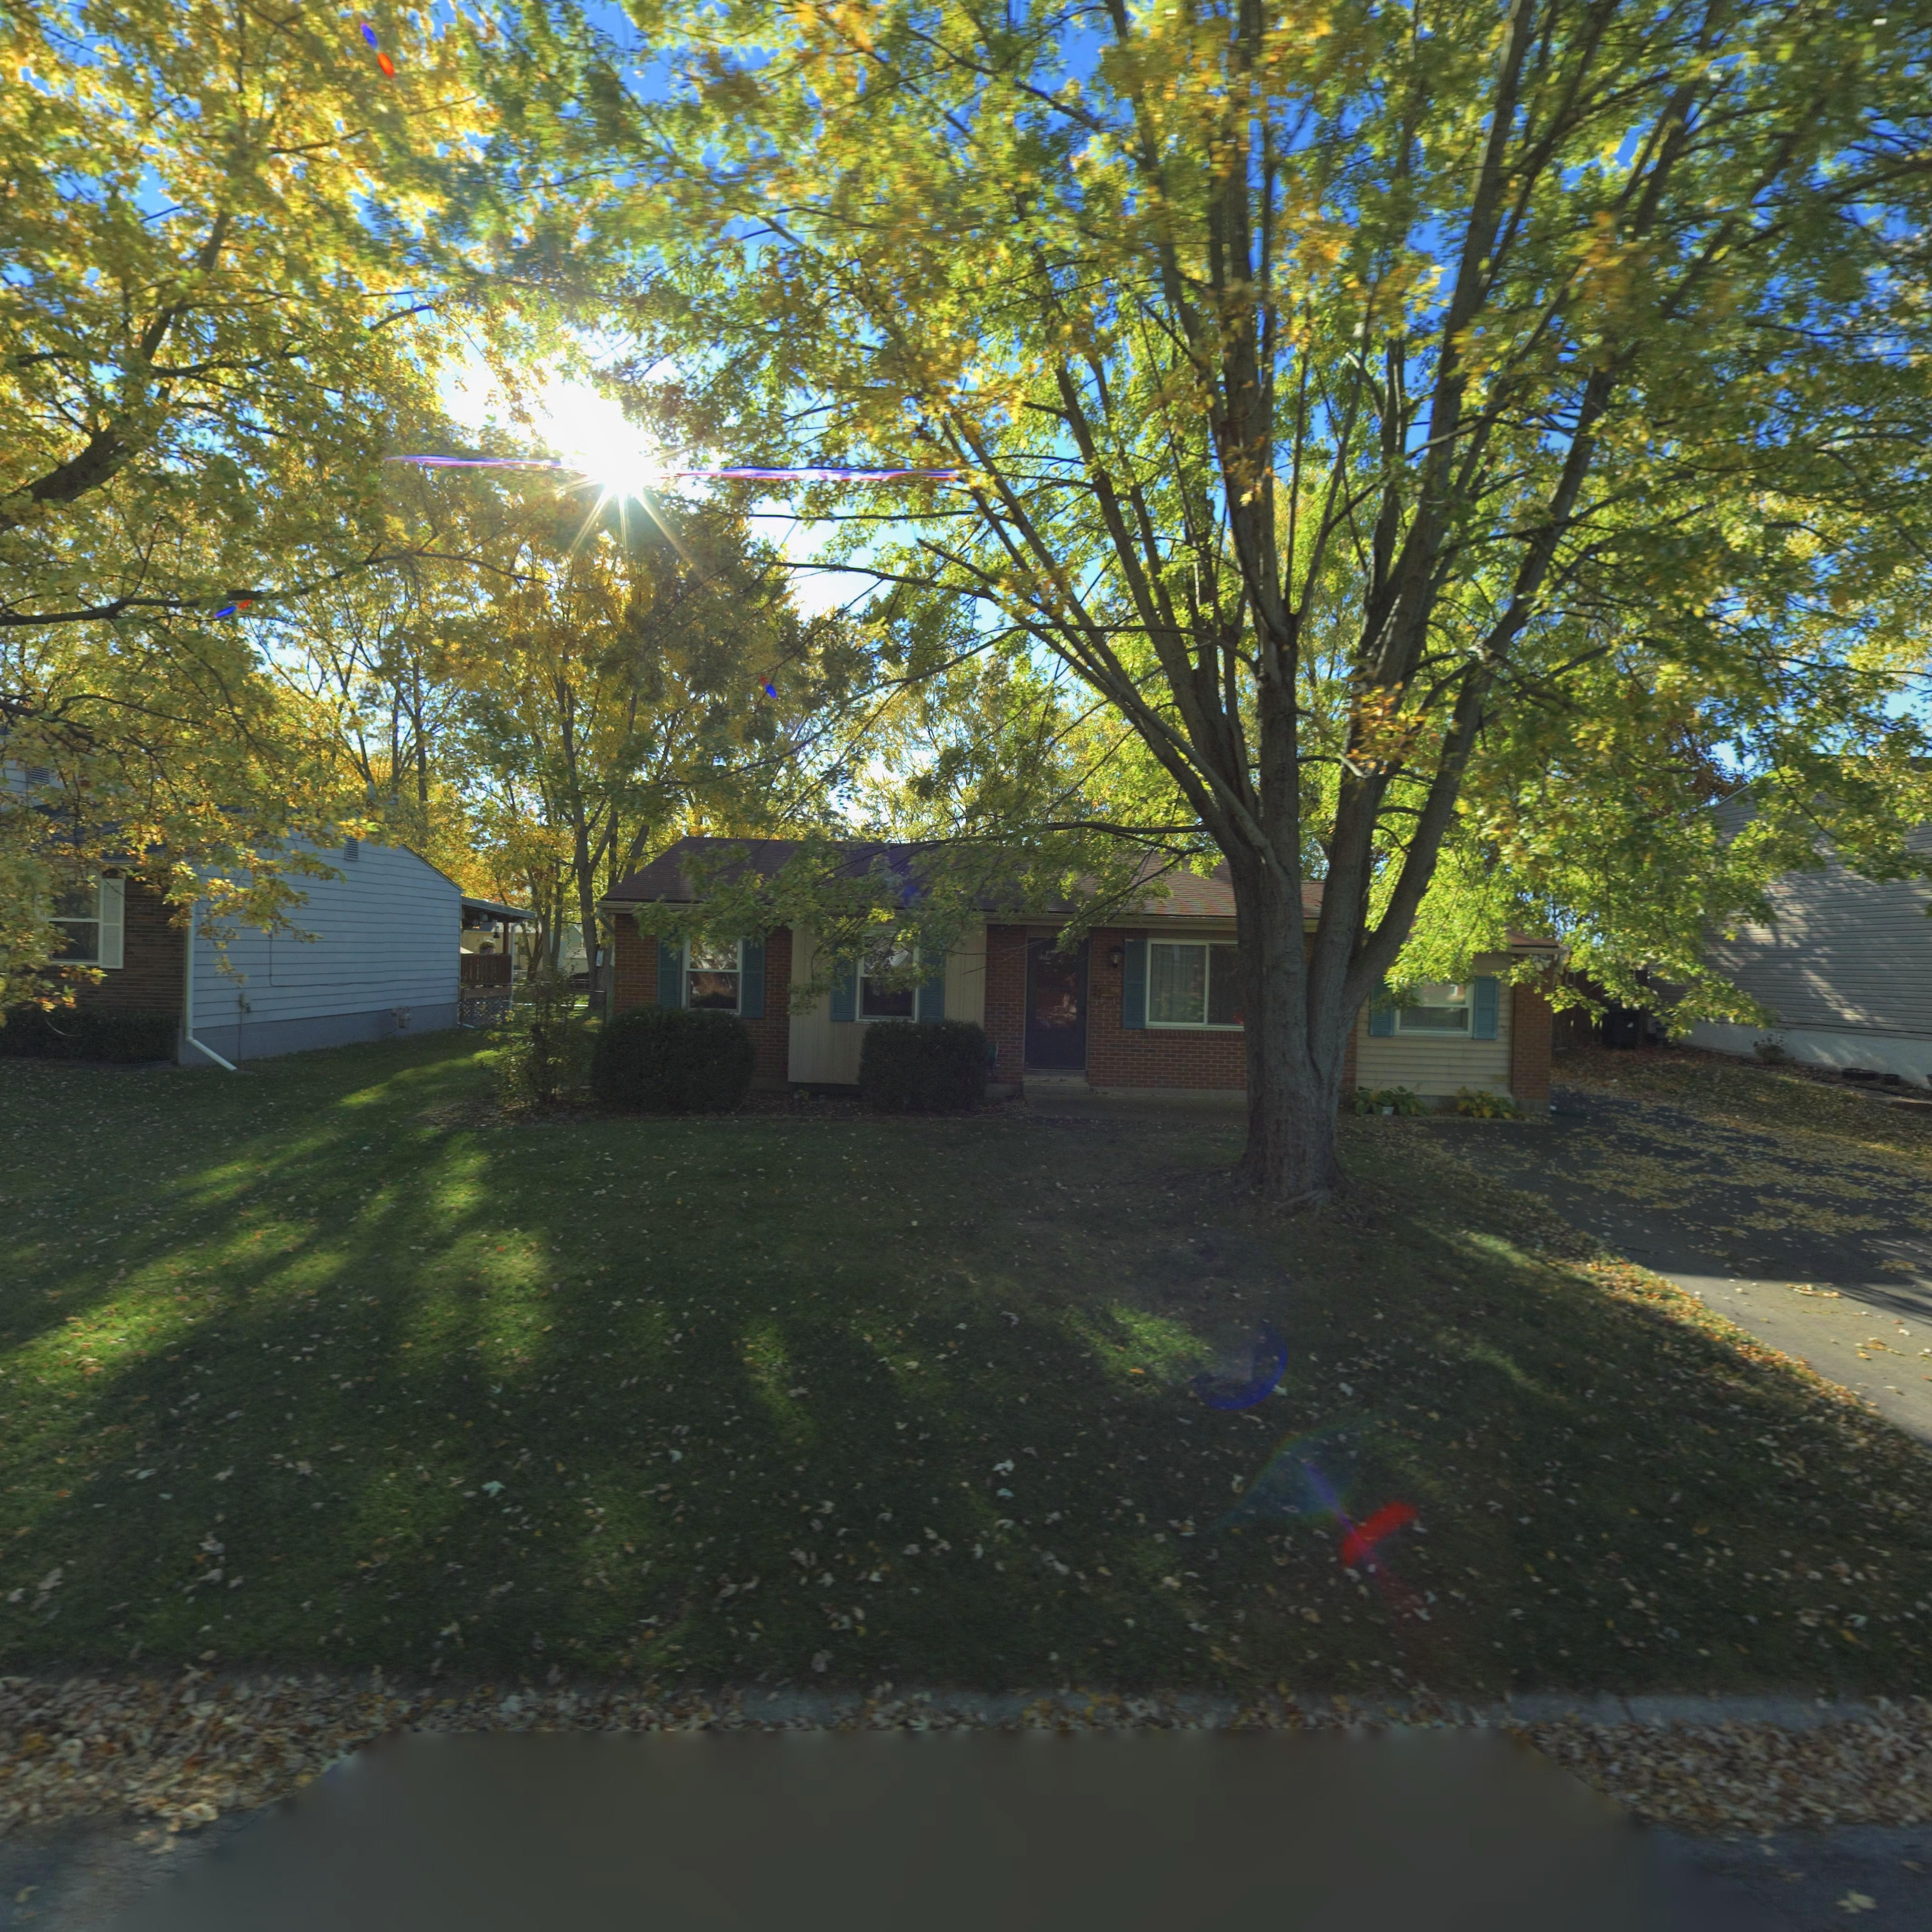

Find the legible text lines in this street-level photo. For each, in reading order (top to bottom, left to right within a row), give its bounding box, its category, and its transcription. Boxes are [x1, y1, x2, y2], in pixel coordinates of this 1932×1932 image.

[1052, 926, 1055, 934] StreetNumber: 1